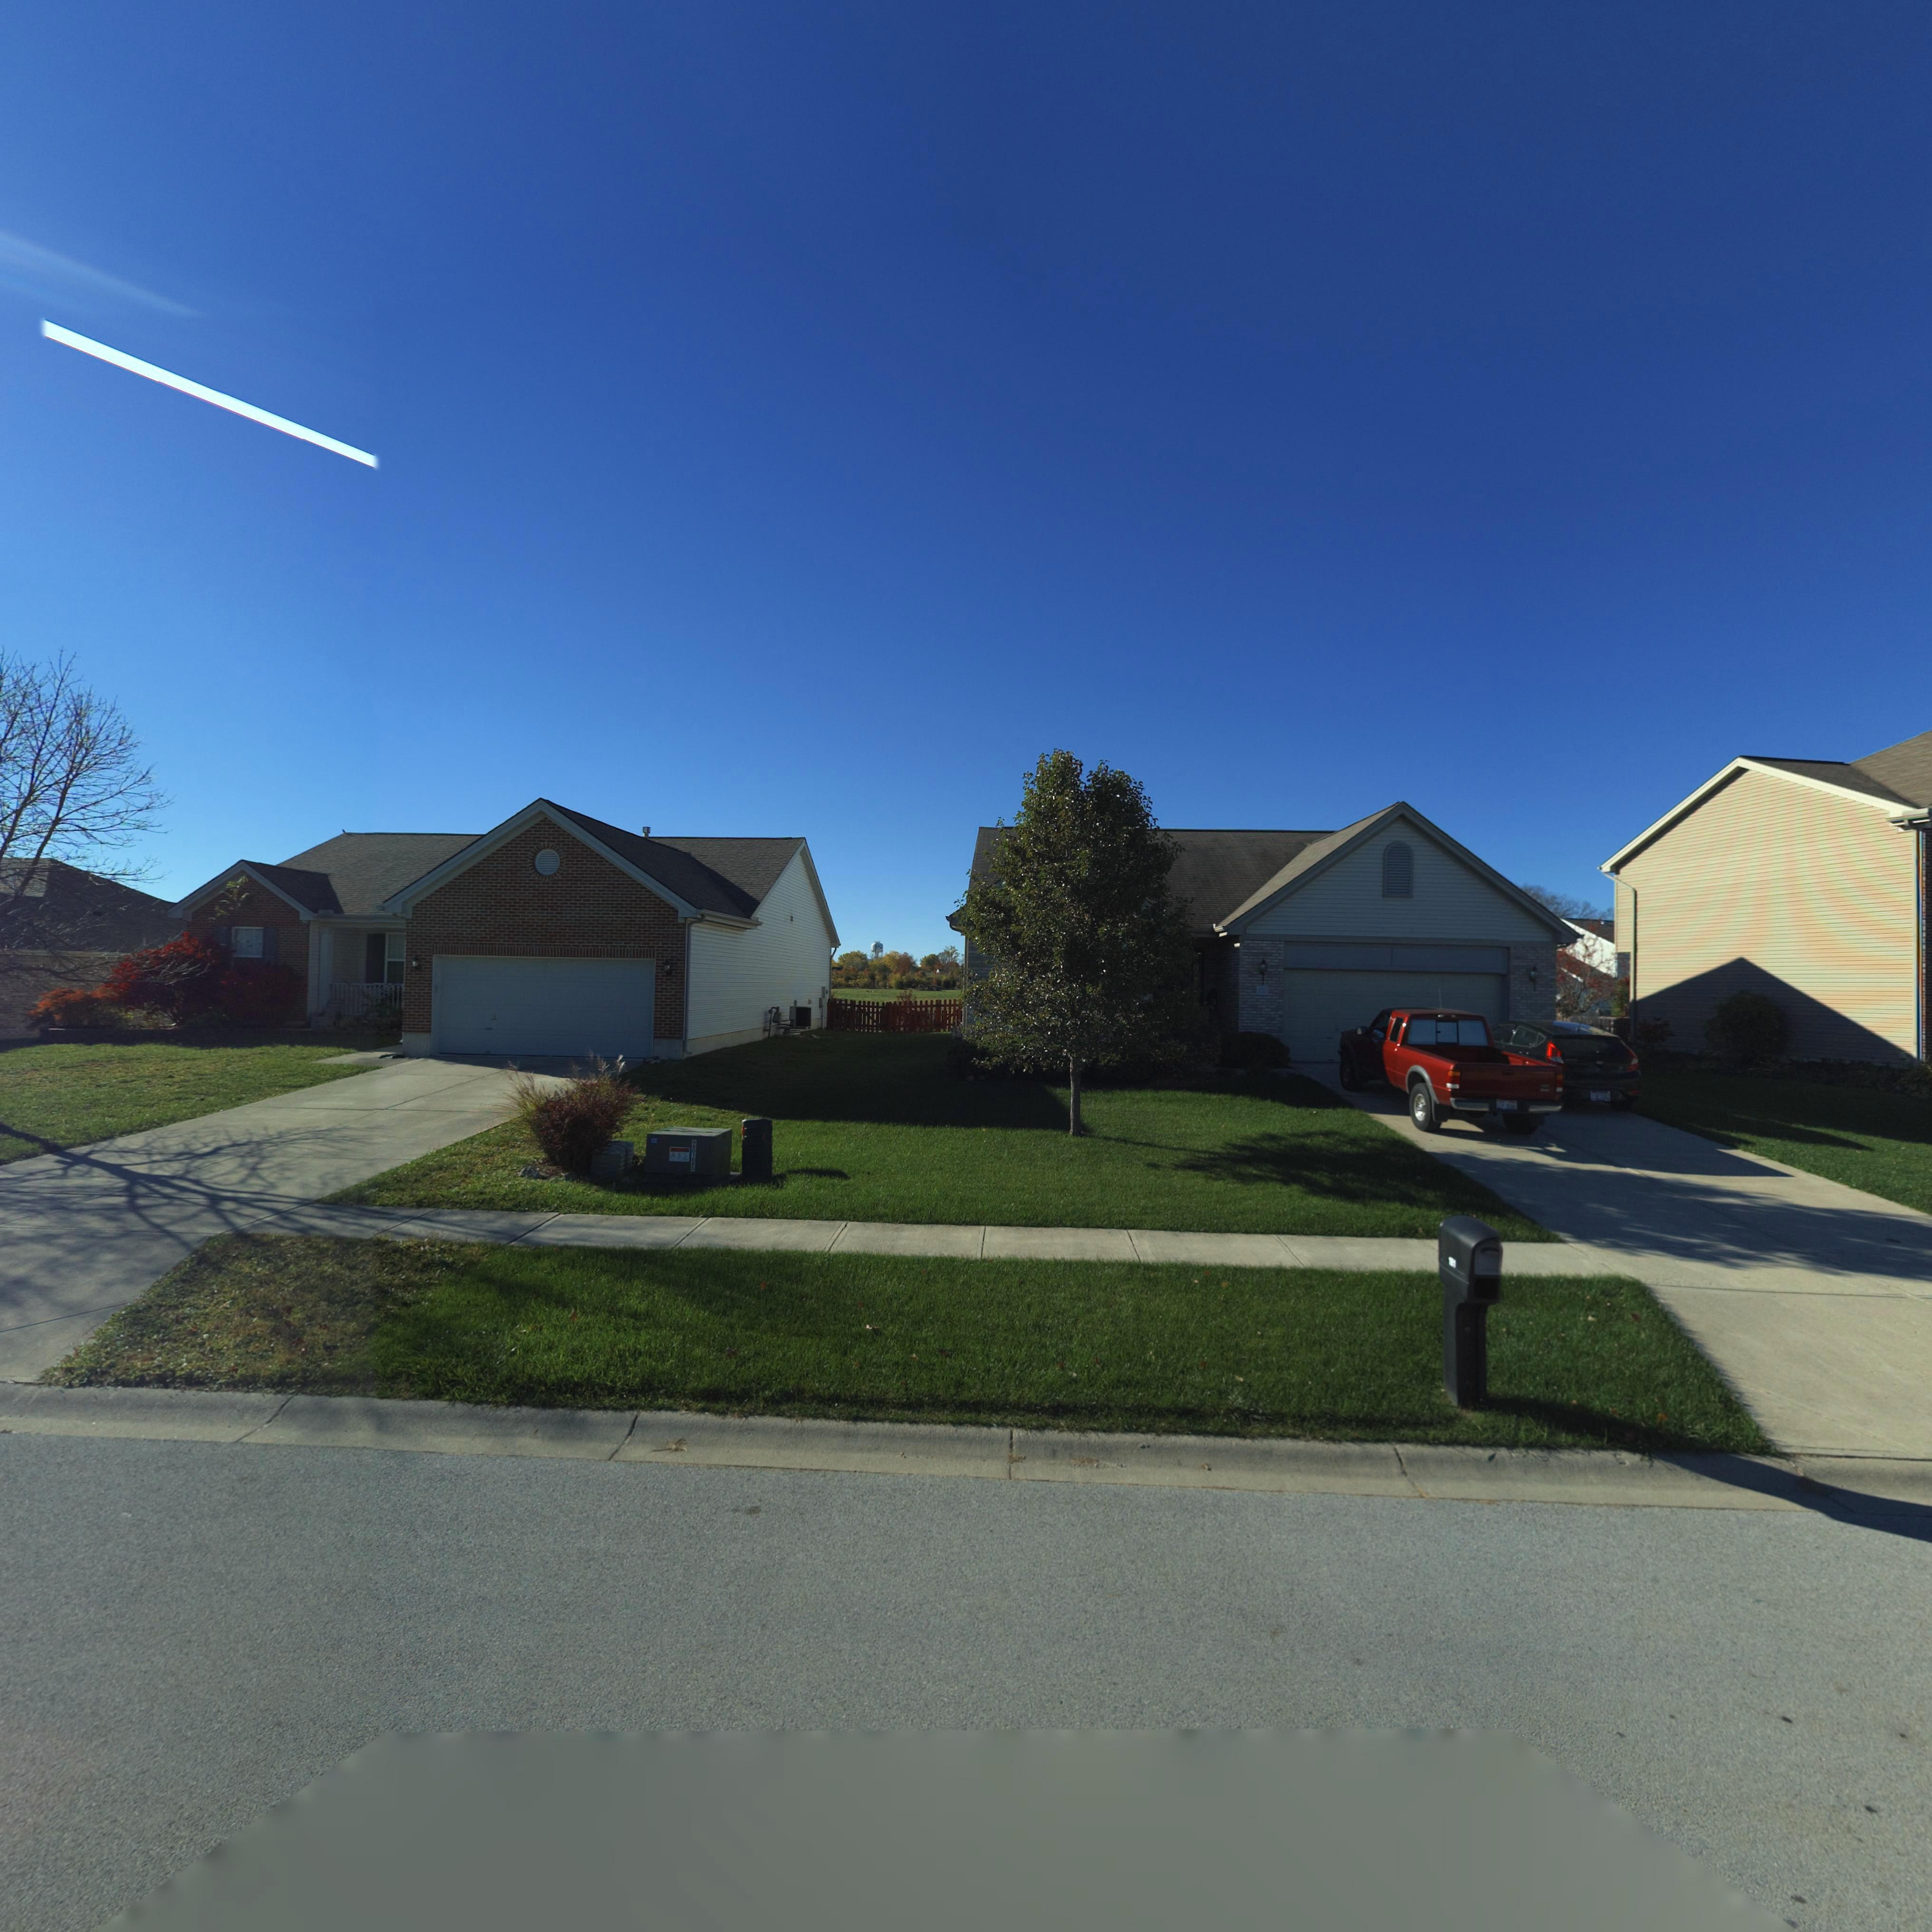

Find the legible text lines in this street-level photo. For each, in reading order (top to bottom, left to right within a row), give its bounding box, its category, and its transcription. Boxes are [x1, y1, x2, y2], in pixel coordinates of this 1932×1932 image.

[1257, 987, 1267, 994] StreetNumber: 181
[1448, 1255, 1457, 1271] StreetNumber: 181